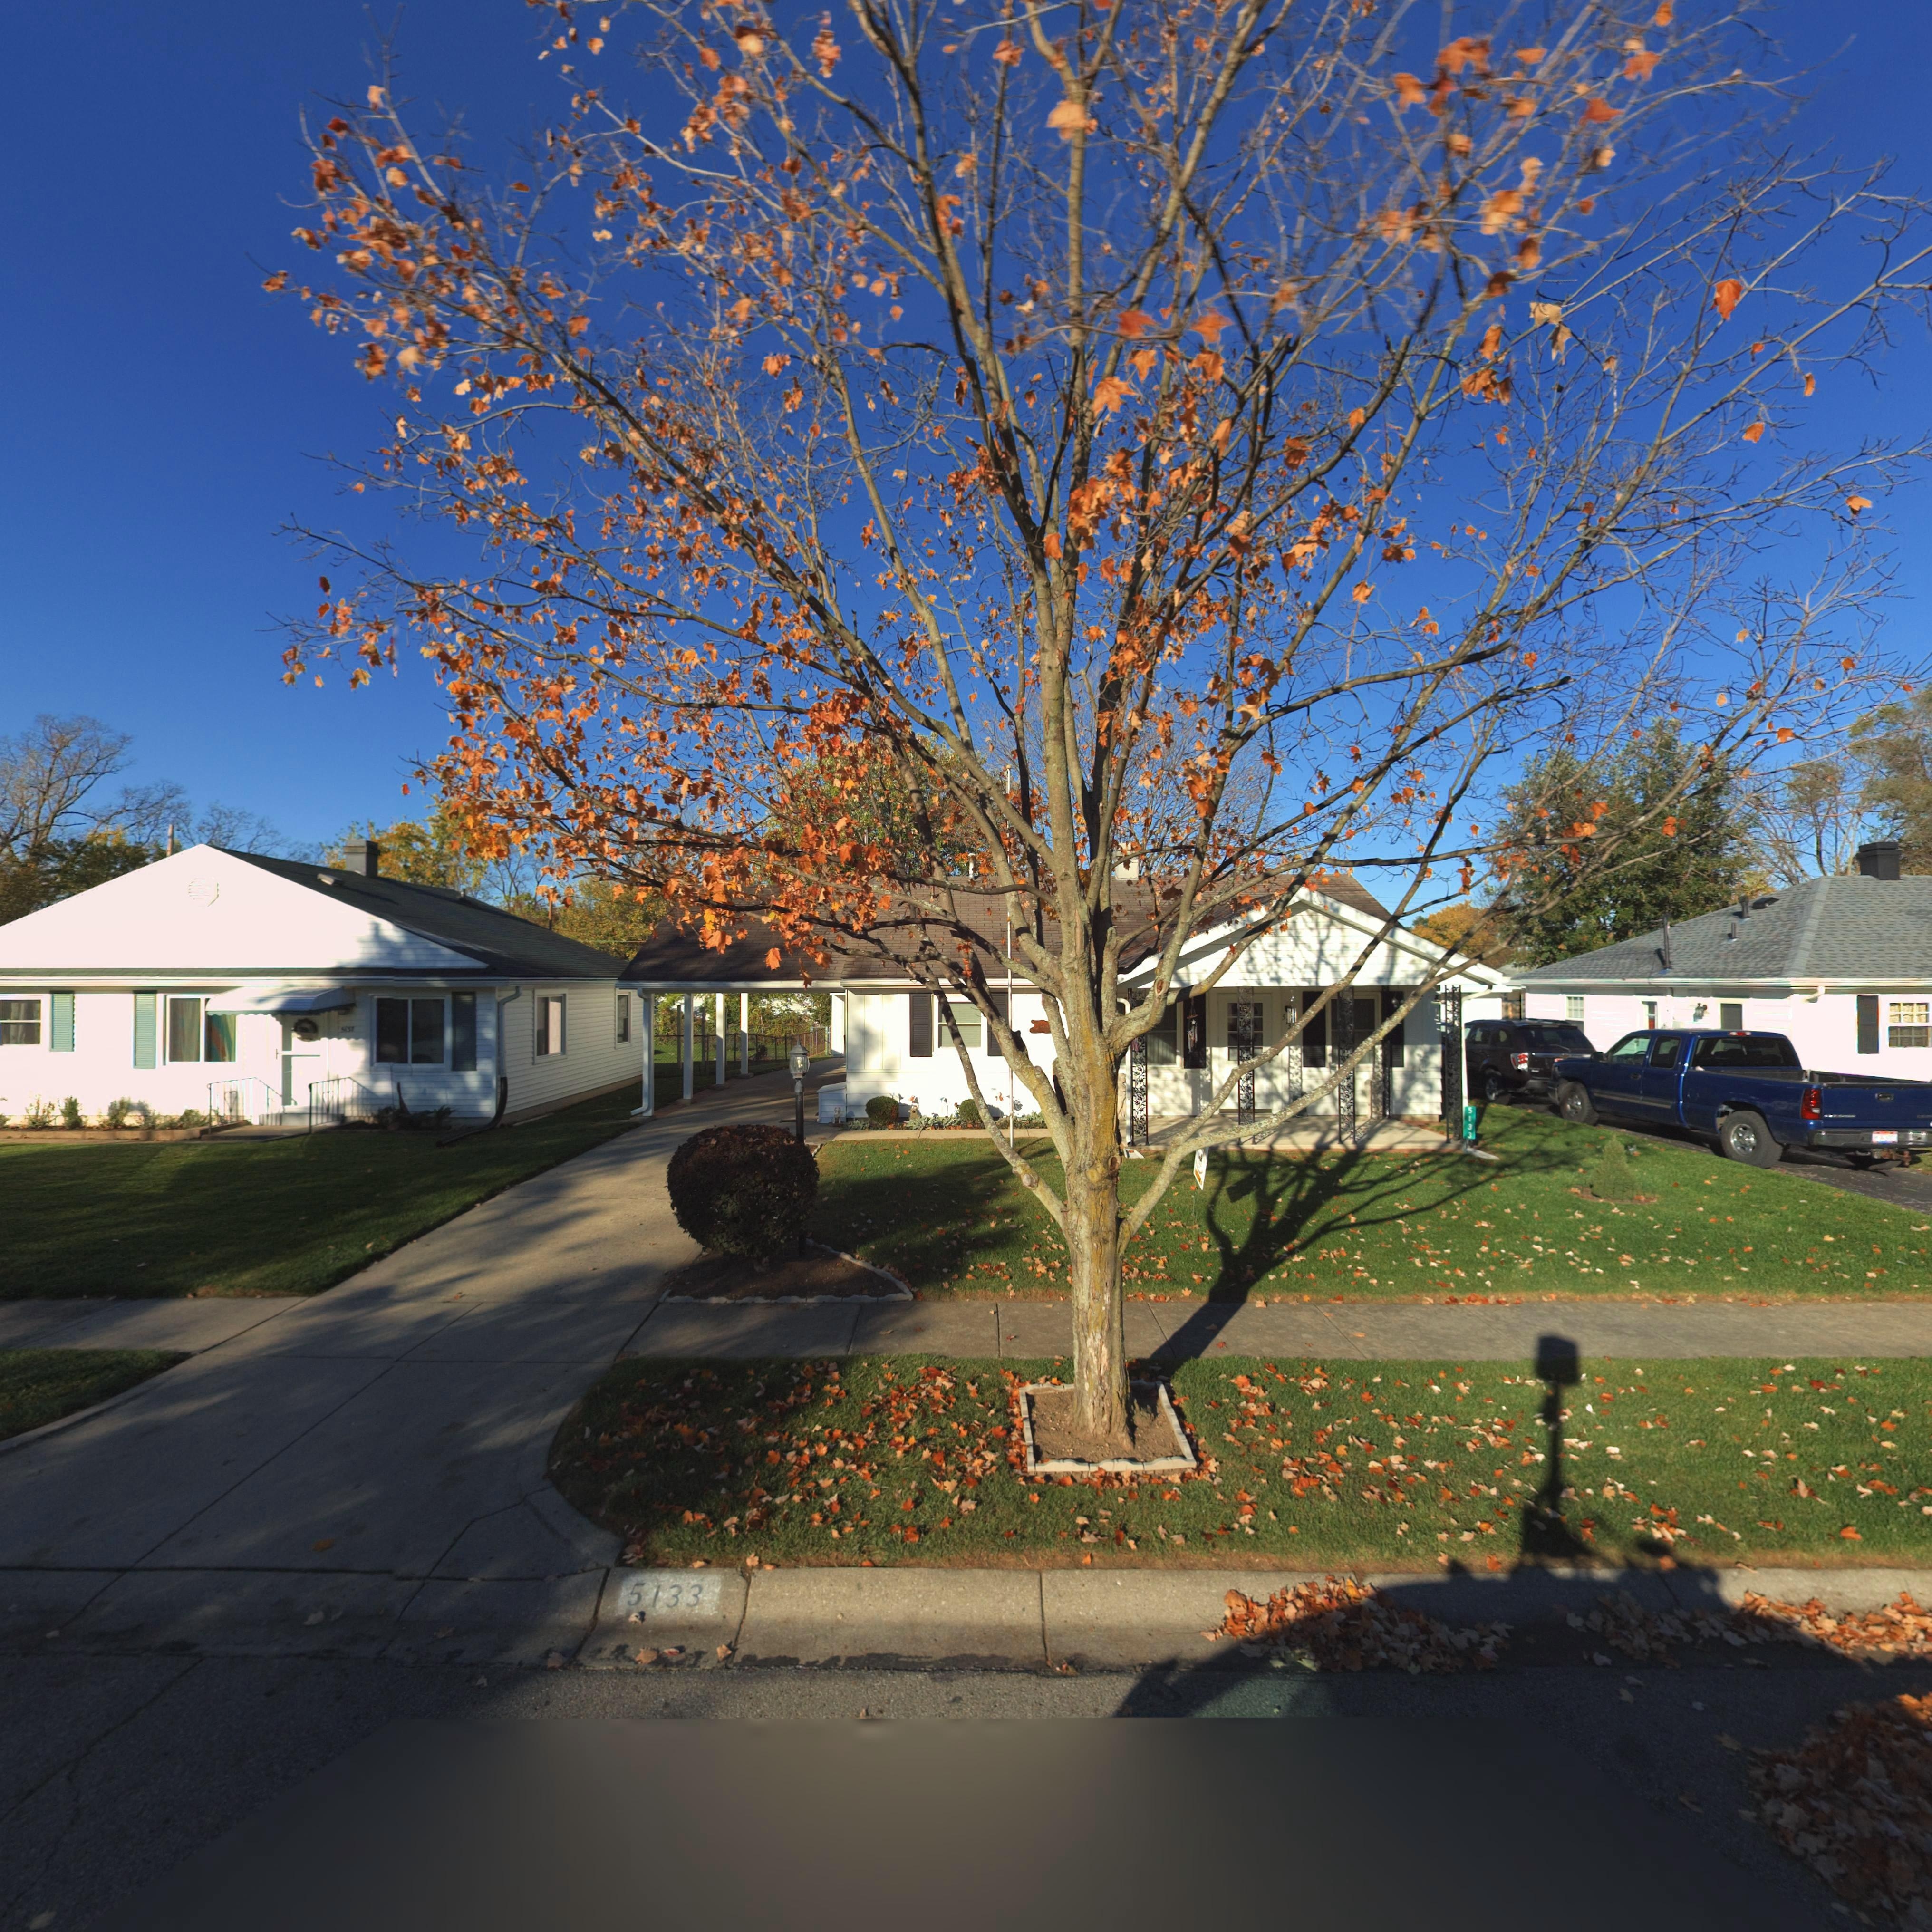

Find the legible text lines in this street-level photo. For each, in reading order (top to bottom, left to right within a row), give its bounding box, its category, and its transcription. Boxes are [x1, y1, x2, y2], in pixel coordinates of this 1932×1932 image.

[339, 1026, 355, 1033] StreetNumber: 5*37
[1281, 1014, 1292, 1030] StreetNumber: 5*3
[1467, 1107, 1473, 1139] StreetNumber: 5133
[625, 1582, 705, 1608] StreetNumber: 5133